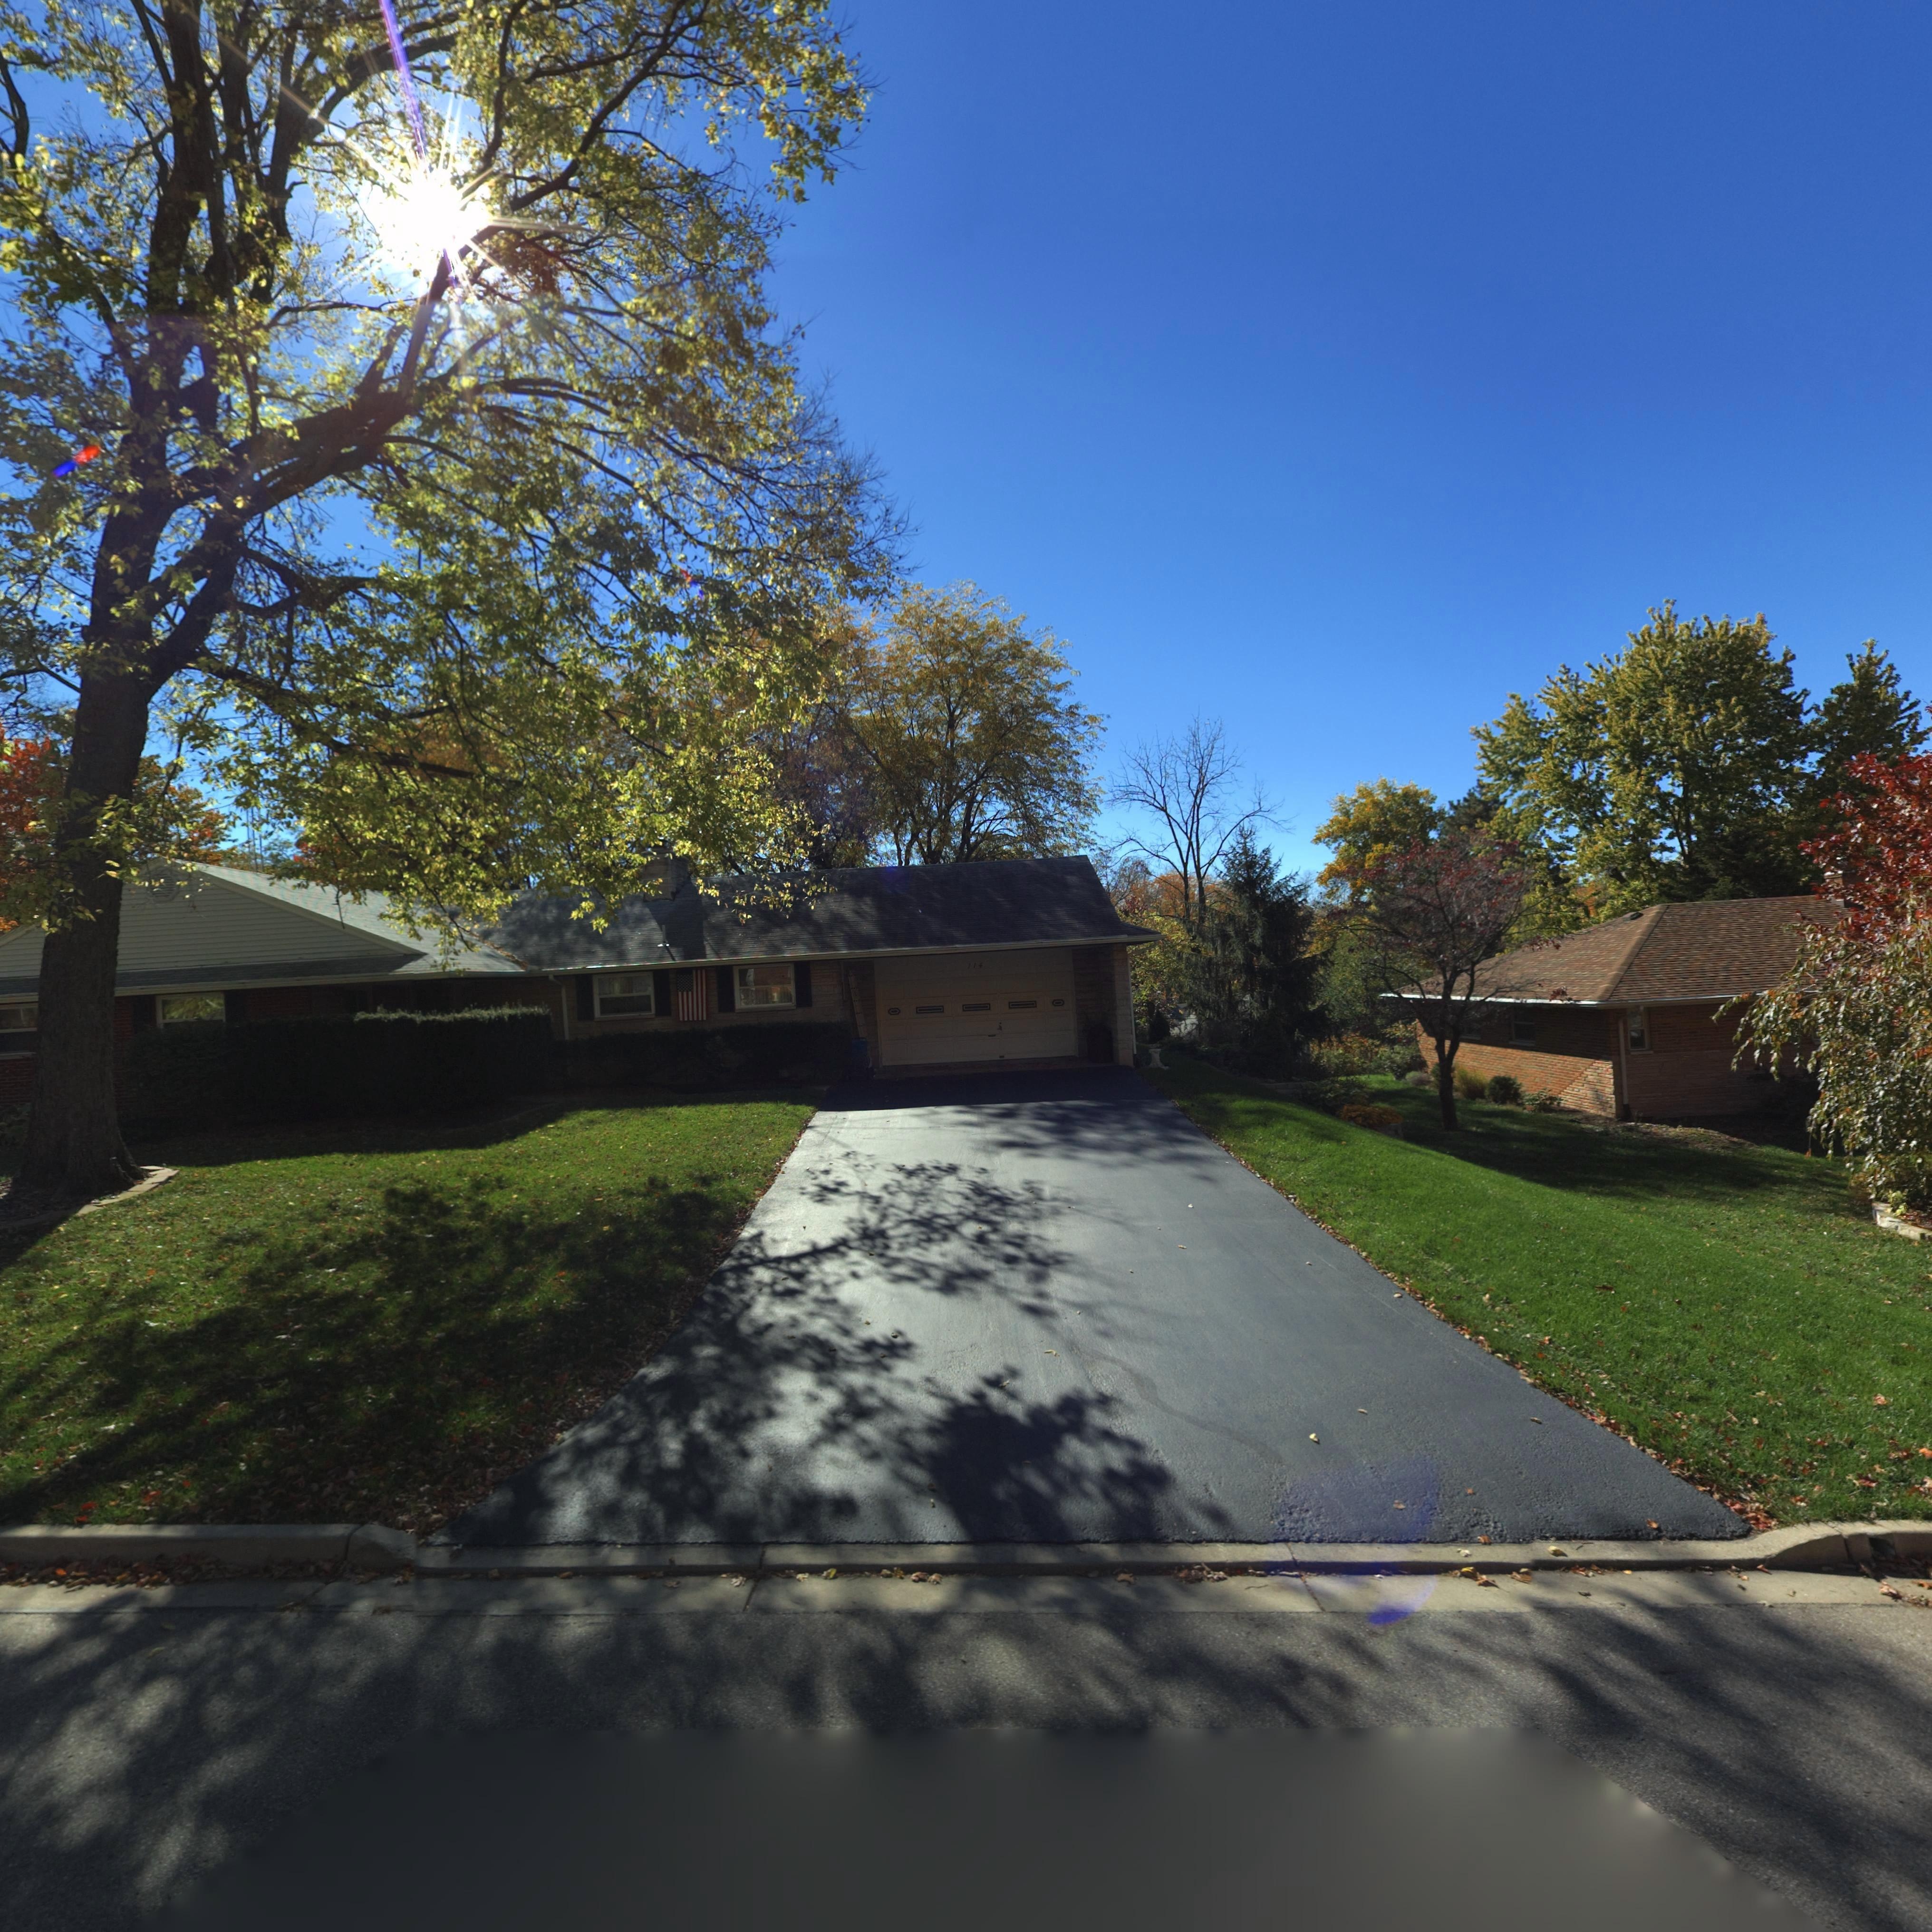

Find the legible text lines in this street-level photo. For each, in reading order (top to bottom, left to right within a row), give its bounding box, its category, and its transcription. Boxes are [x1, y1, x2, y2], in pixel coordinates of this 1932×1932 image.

[966, 962, 984, 969] StreetNumber: 114